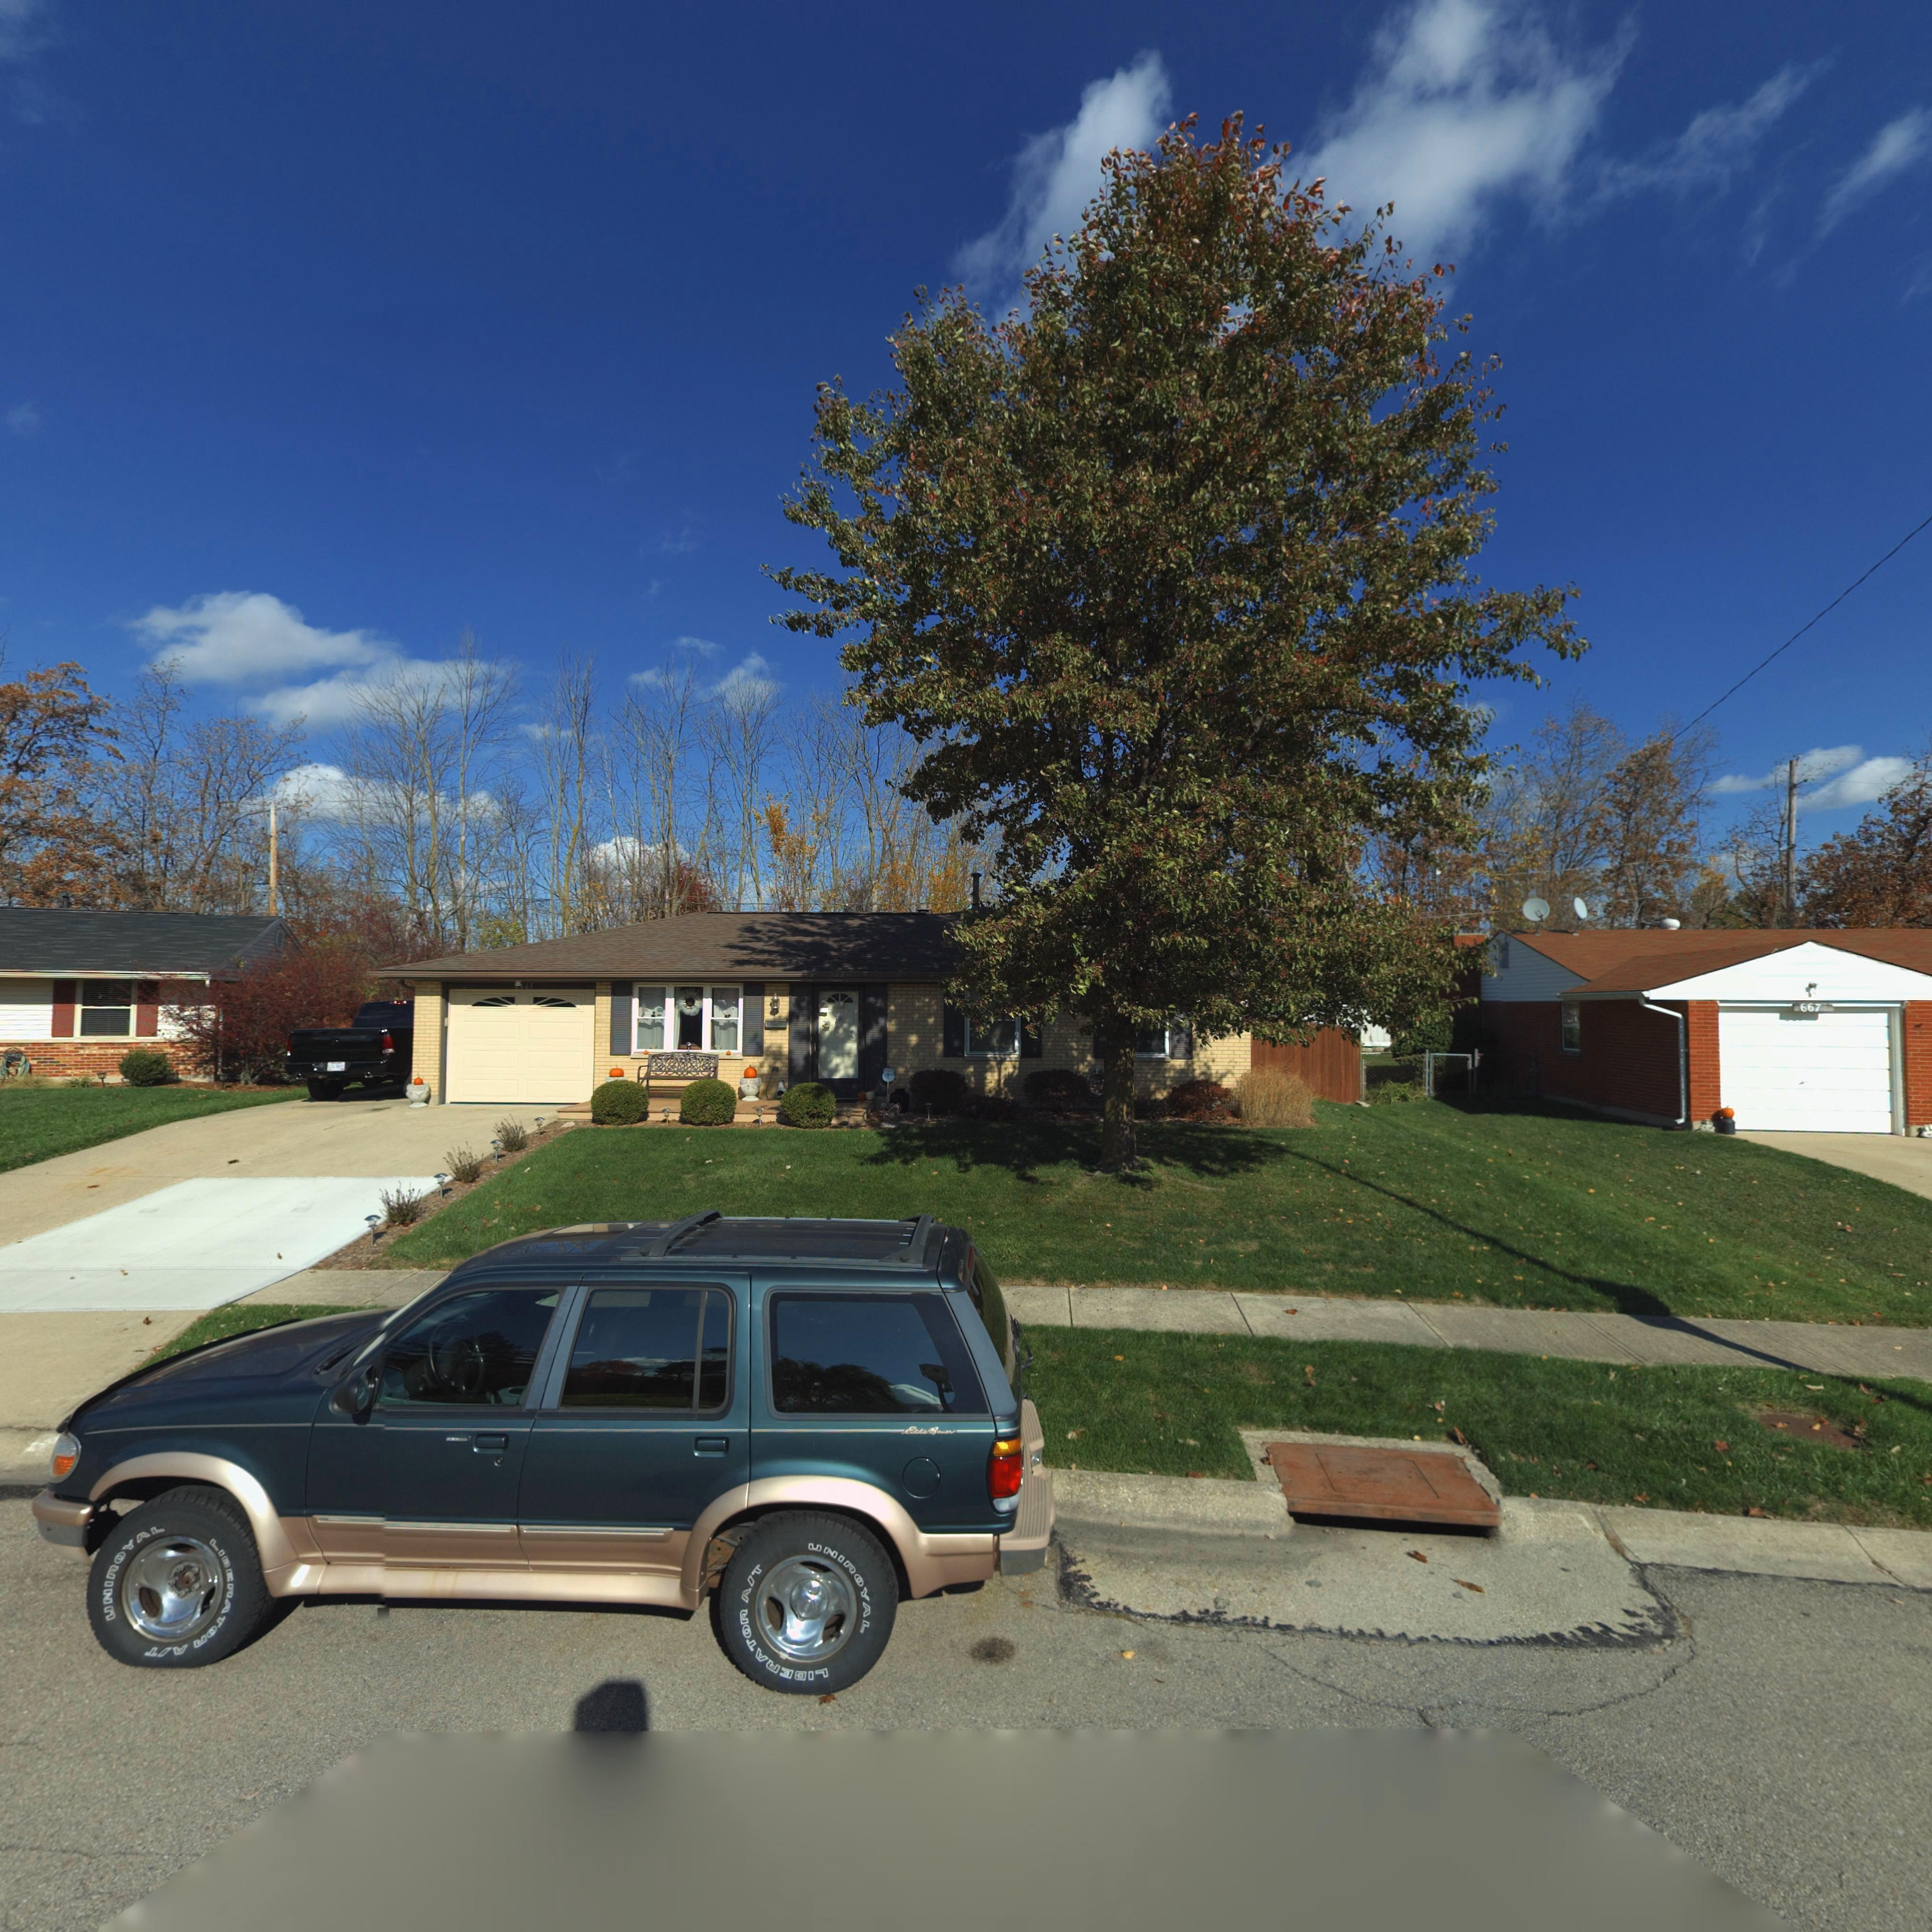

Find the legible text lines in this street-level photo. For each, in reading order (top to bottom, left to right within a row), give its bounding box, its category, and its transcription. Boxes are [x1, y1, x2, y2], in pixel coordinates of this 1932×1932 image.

[524, 982, 534, 989] StreetNumber: 65
[1799, 1002, 1823, 1013] StreetNumber: 667